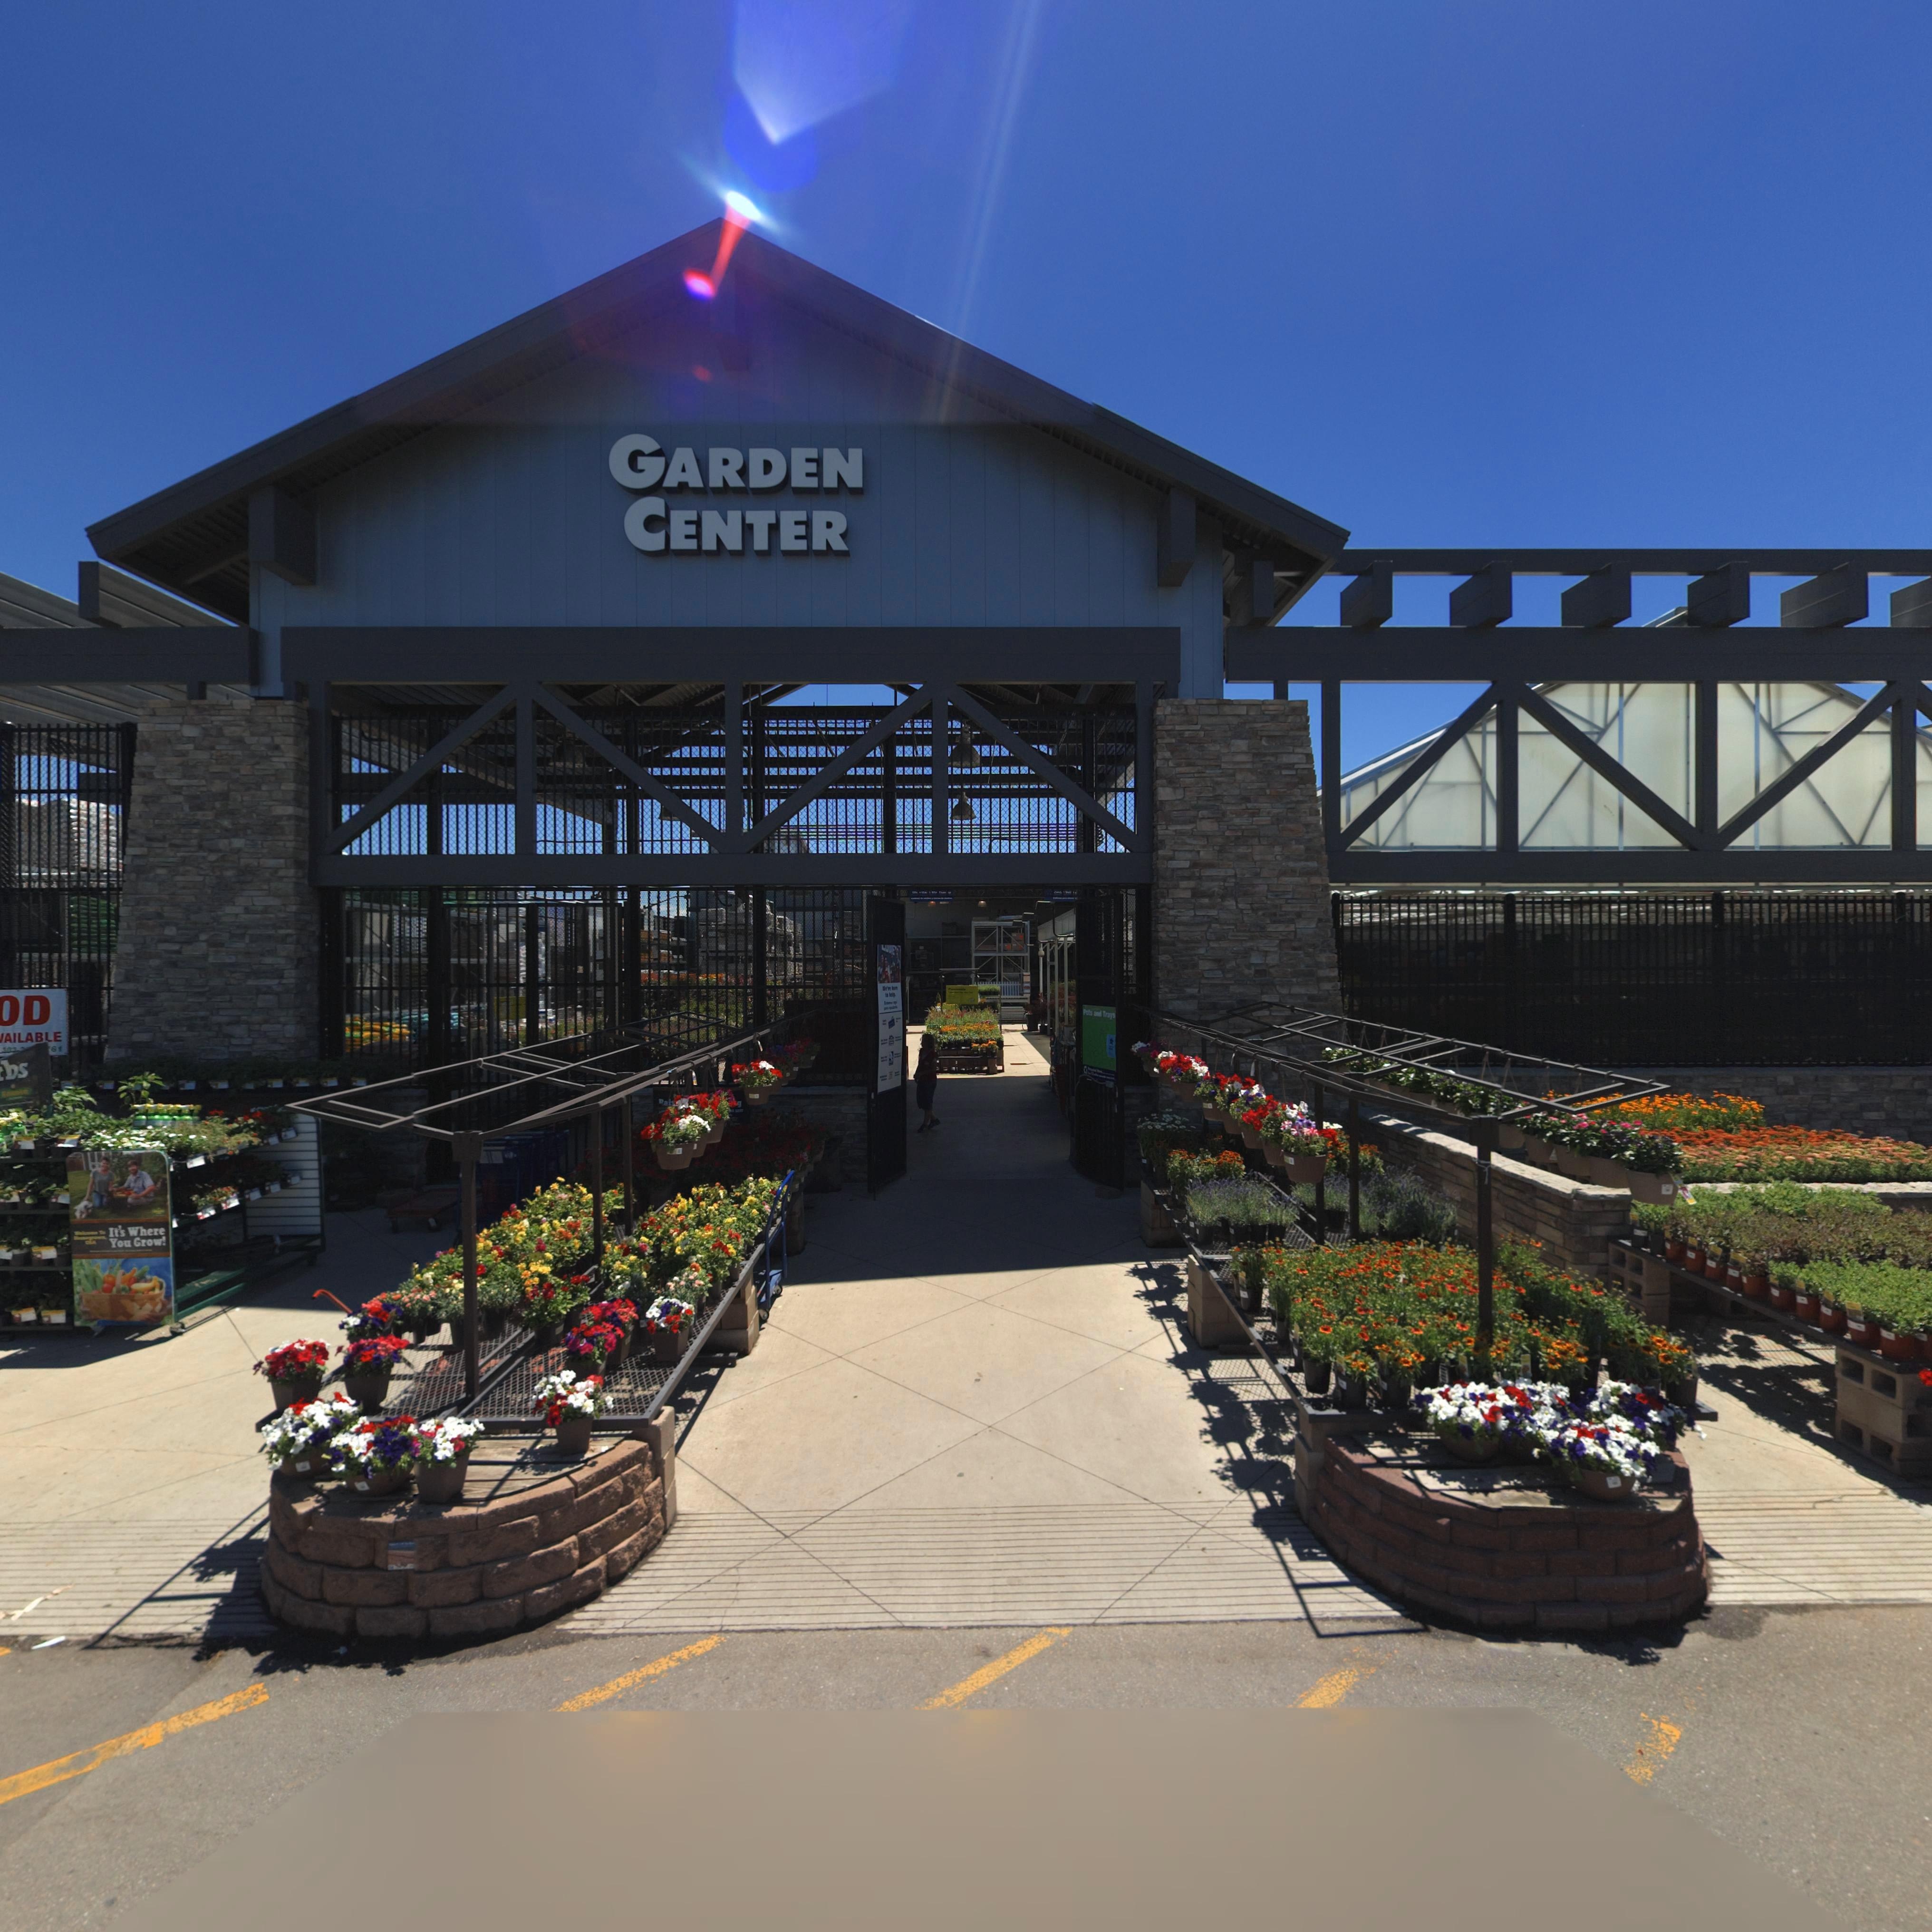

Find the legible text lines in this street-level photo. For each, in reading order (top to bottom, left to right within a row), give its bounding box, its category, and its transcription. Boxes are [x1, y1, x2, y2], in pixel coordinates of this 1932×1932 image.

[888, 944, 897, 956] BusinessName: WE'